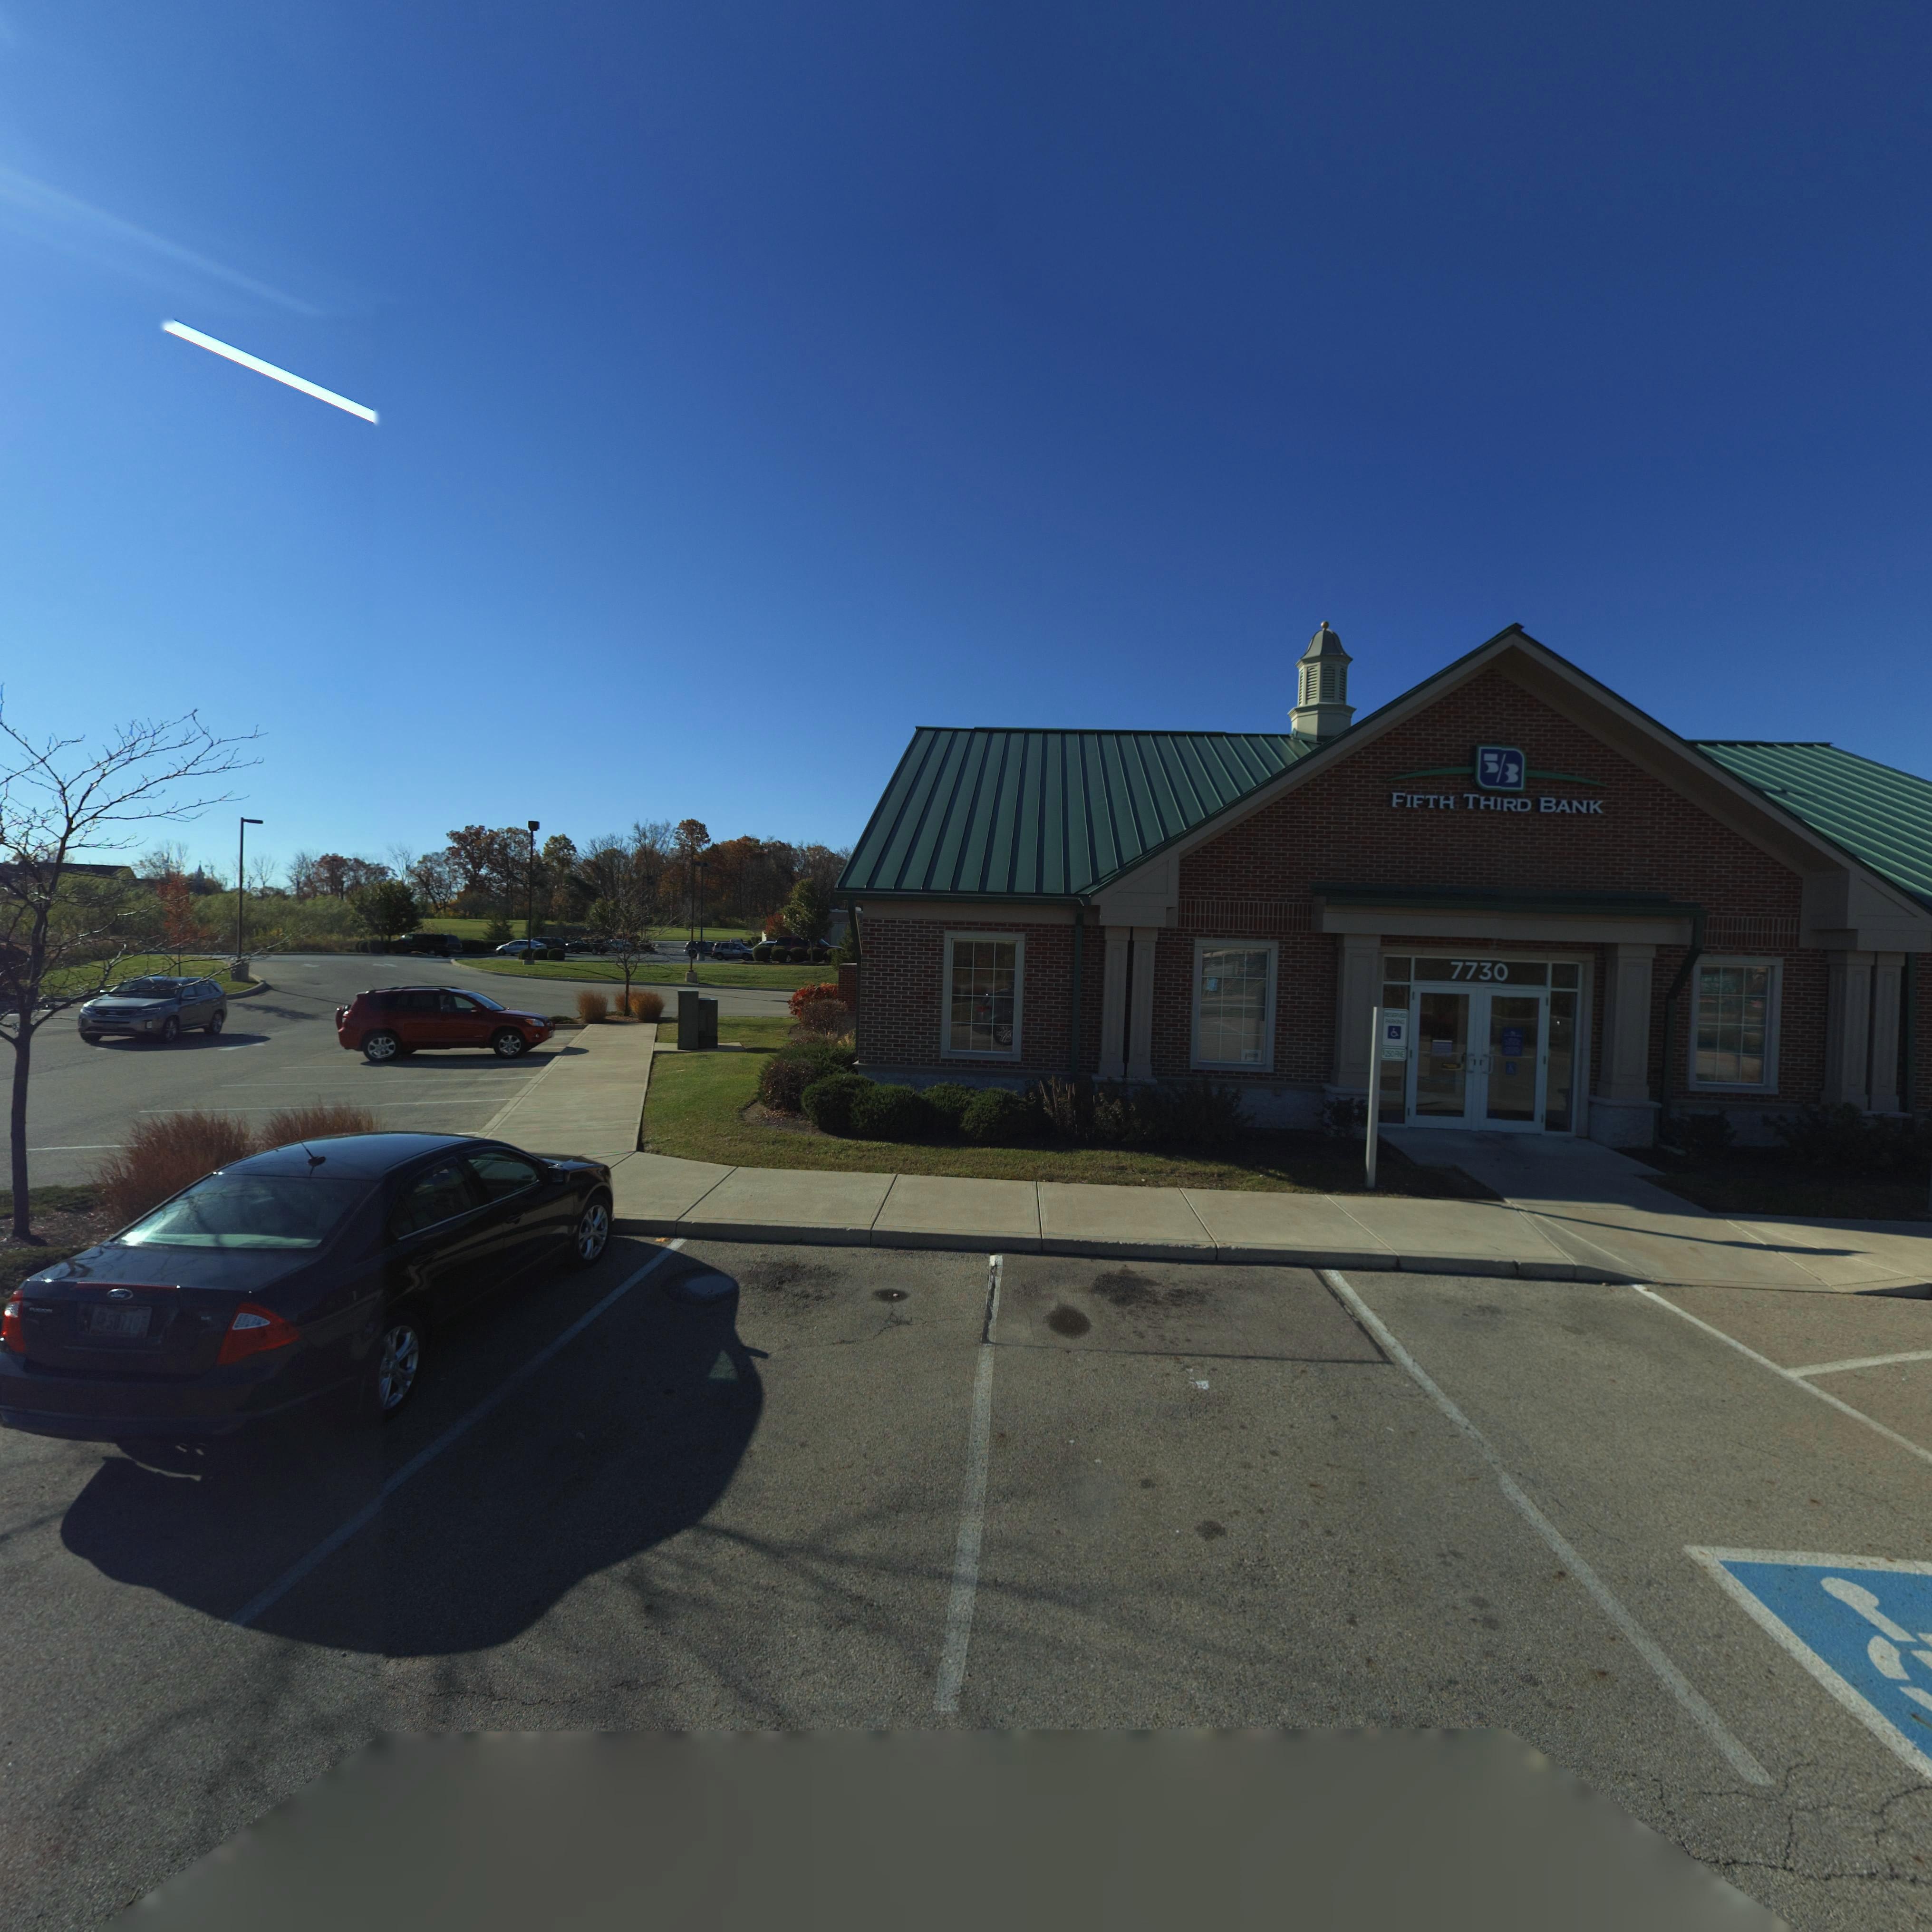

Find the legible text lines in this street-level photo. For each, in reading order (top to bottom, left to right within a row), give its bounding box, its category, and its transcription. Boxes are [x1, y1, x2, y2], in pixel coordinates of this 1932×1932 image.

[1390, 791, 1606, 815] BusinessName: FIFTH THIRD BANK
[1449, 960, 1510, 983] StreetNumber: 773*